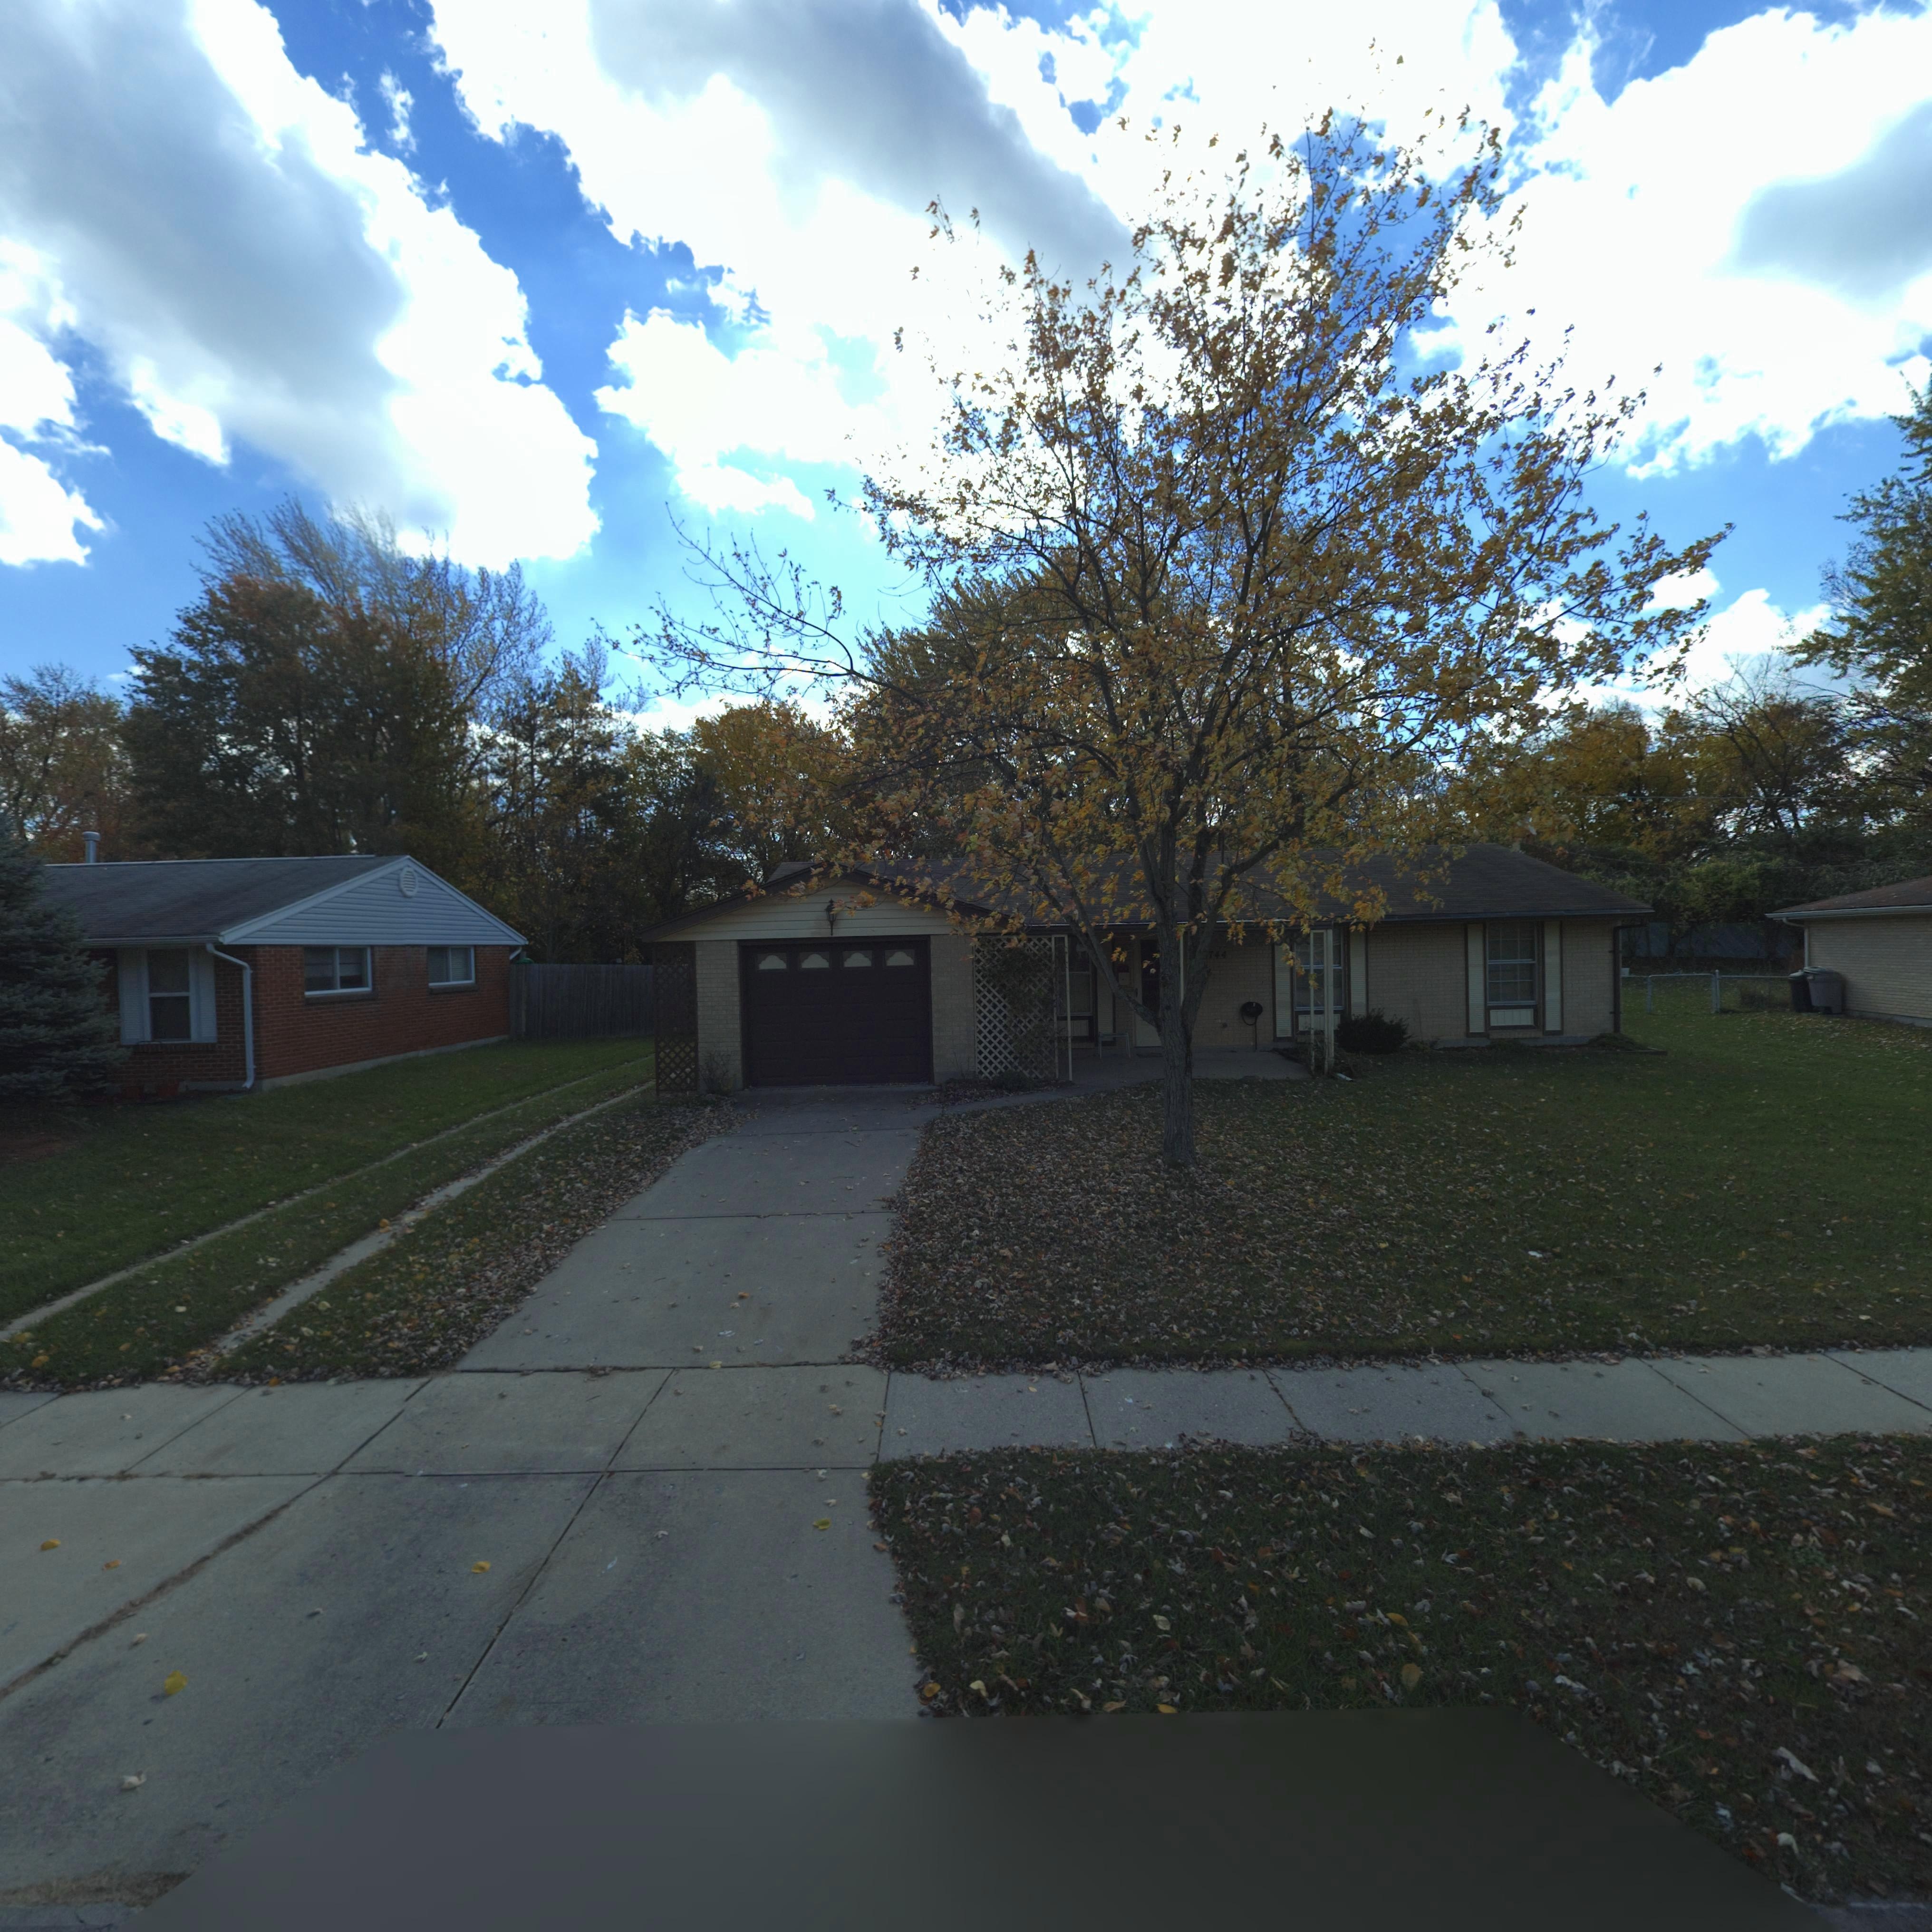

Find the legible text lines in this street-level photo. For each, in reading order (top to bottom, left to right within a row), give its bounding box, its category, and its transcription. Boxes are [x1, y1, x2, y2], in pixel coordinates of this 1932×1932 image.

[1208, 950, 1227, 959] StreetNumber: 744